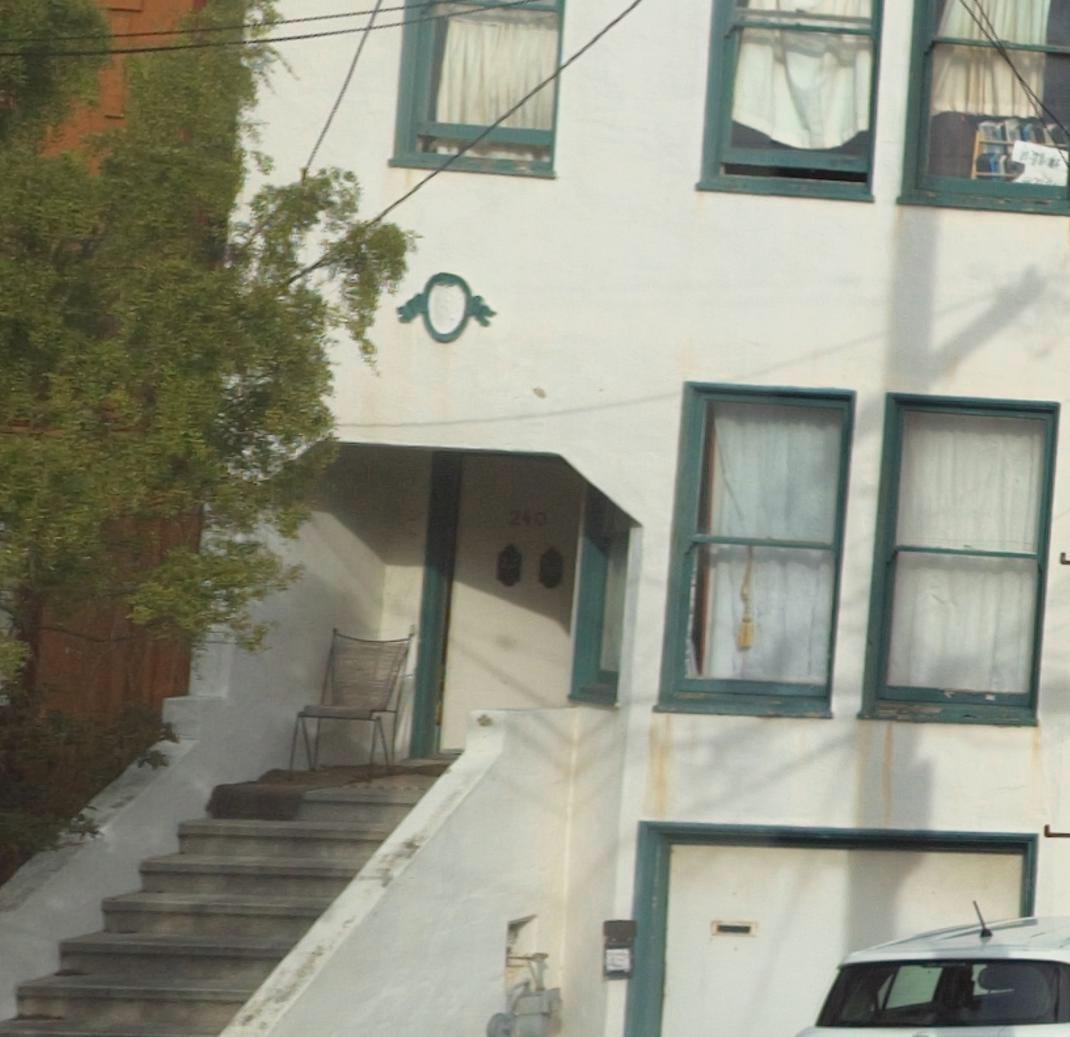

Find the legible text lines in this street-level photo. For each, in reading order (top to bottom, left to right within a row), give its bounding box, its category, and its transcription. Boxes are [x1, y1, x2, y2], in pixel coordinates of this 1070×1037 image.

[509, 509, 548, 527] StreetNumber: 240